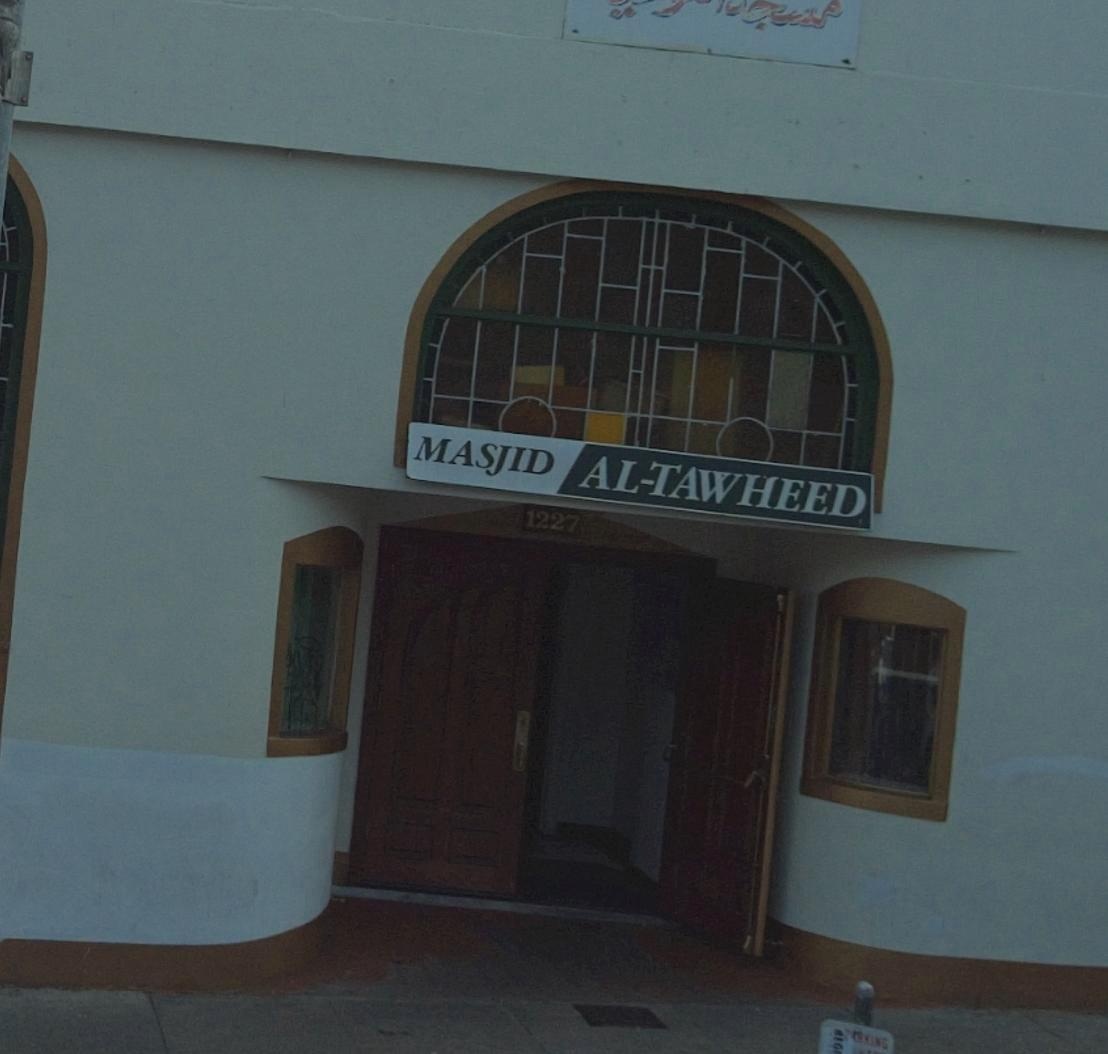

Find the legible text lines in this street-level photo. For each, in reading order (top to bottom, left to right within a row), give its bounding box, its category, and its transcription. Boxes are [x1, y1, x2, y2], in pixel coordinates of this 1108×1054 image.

[408, 430, 559, 481] None: MASJID
[571, 449, 871, 524] None: AL-TAWHEED
[520, 505, 586, 537] StreetNumber: 1227